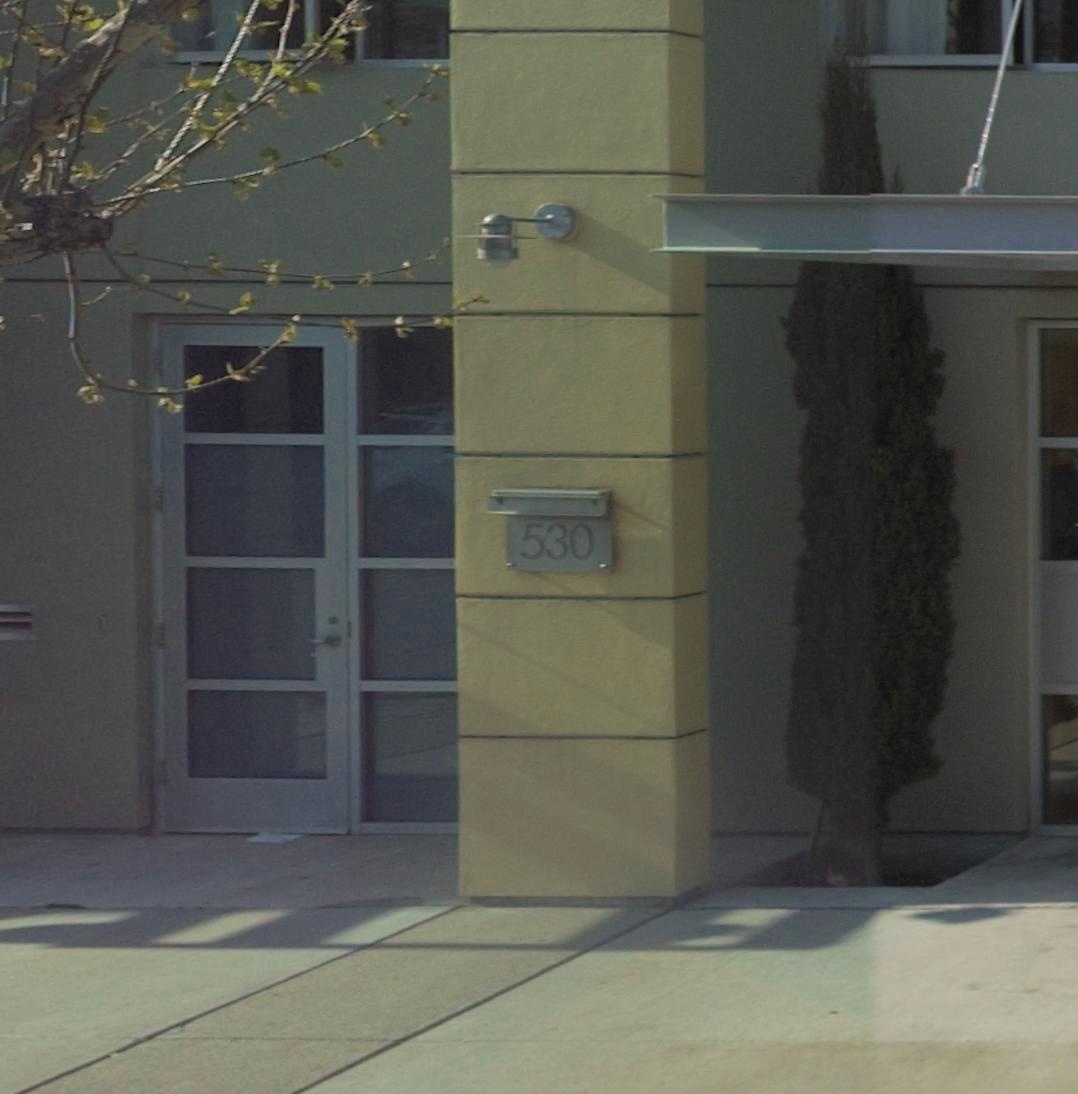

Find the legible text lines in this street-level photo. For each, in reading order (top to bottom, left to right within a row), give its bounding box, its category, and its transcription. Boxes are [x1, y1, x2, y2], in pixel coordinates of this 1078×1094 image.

[517, 519, 596, 564] StreetNumber: 530